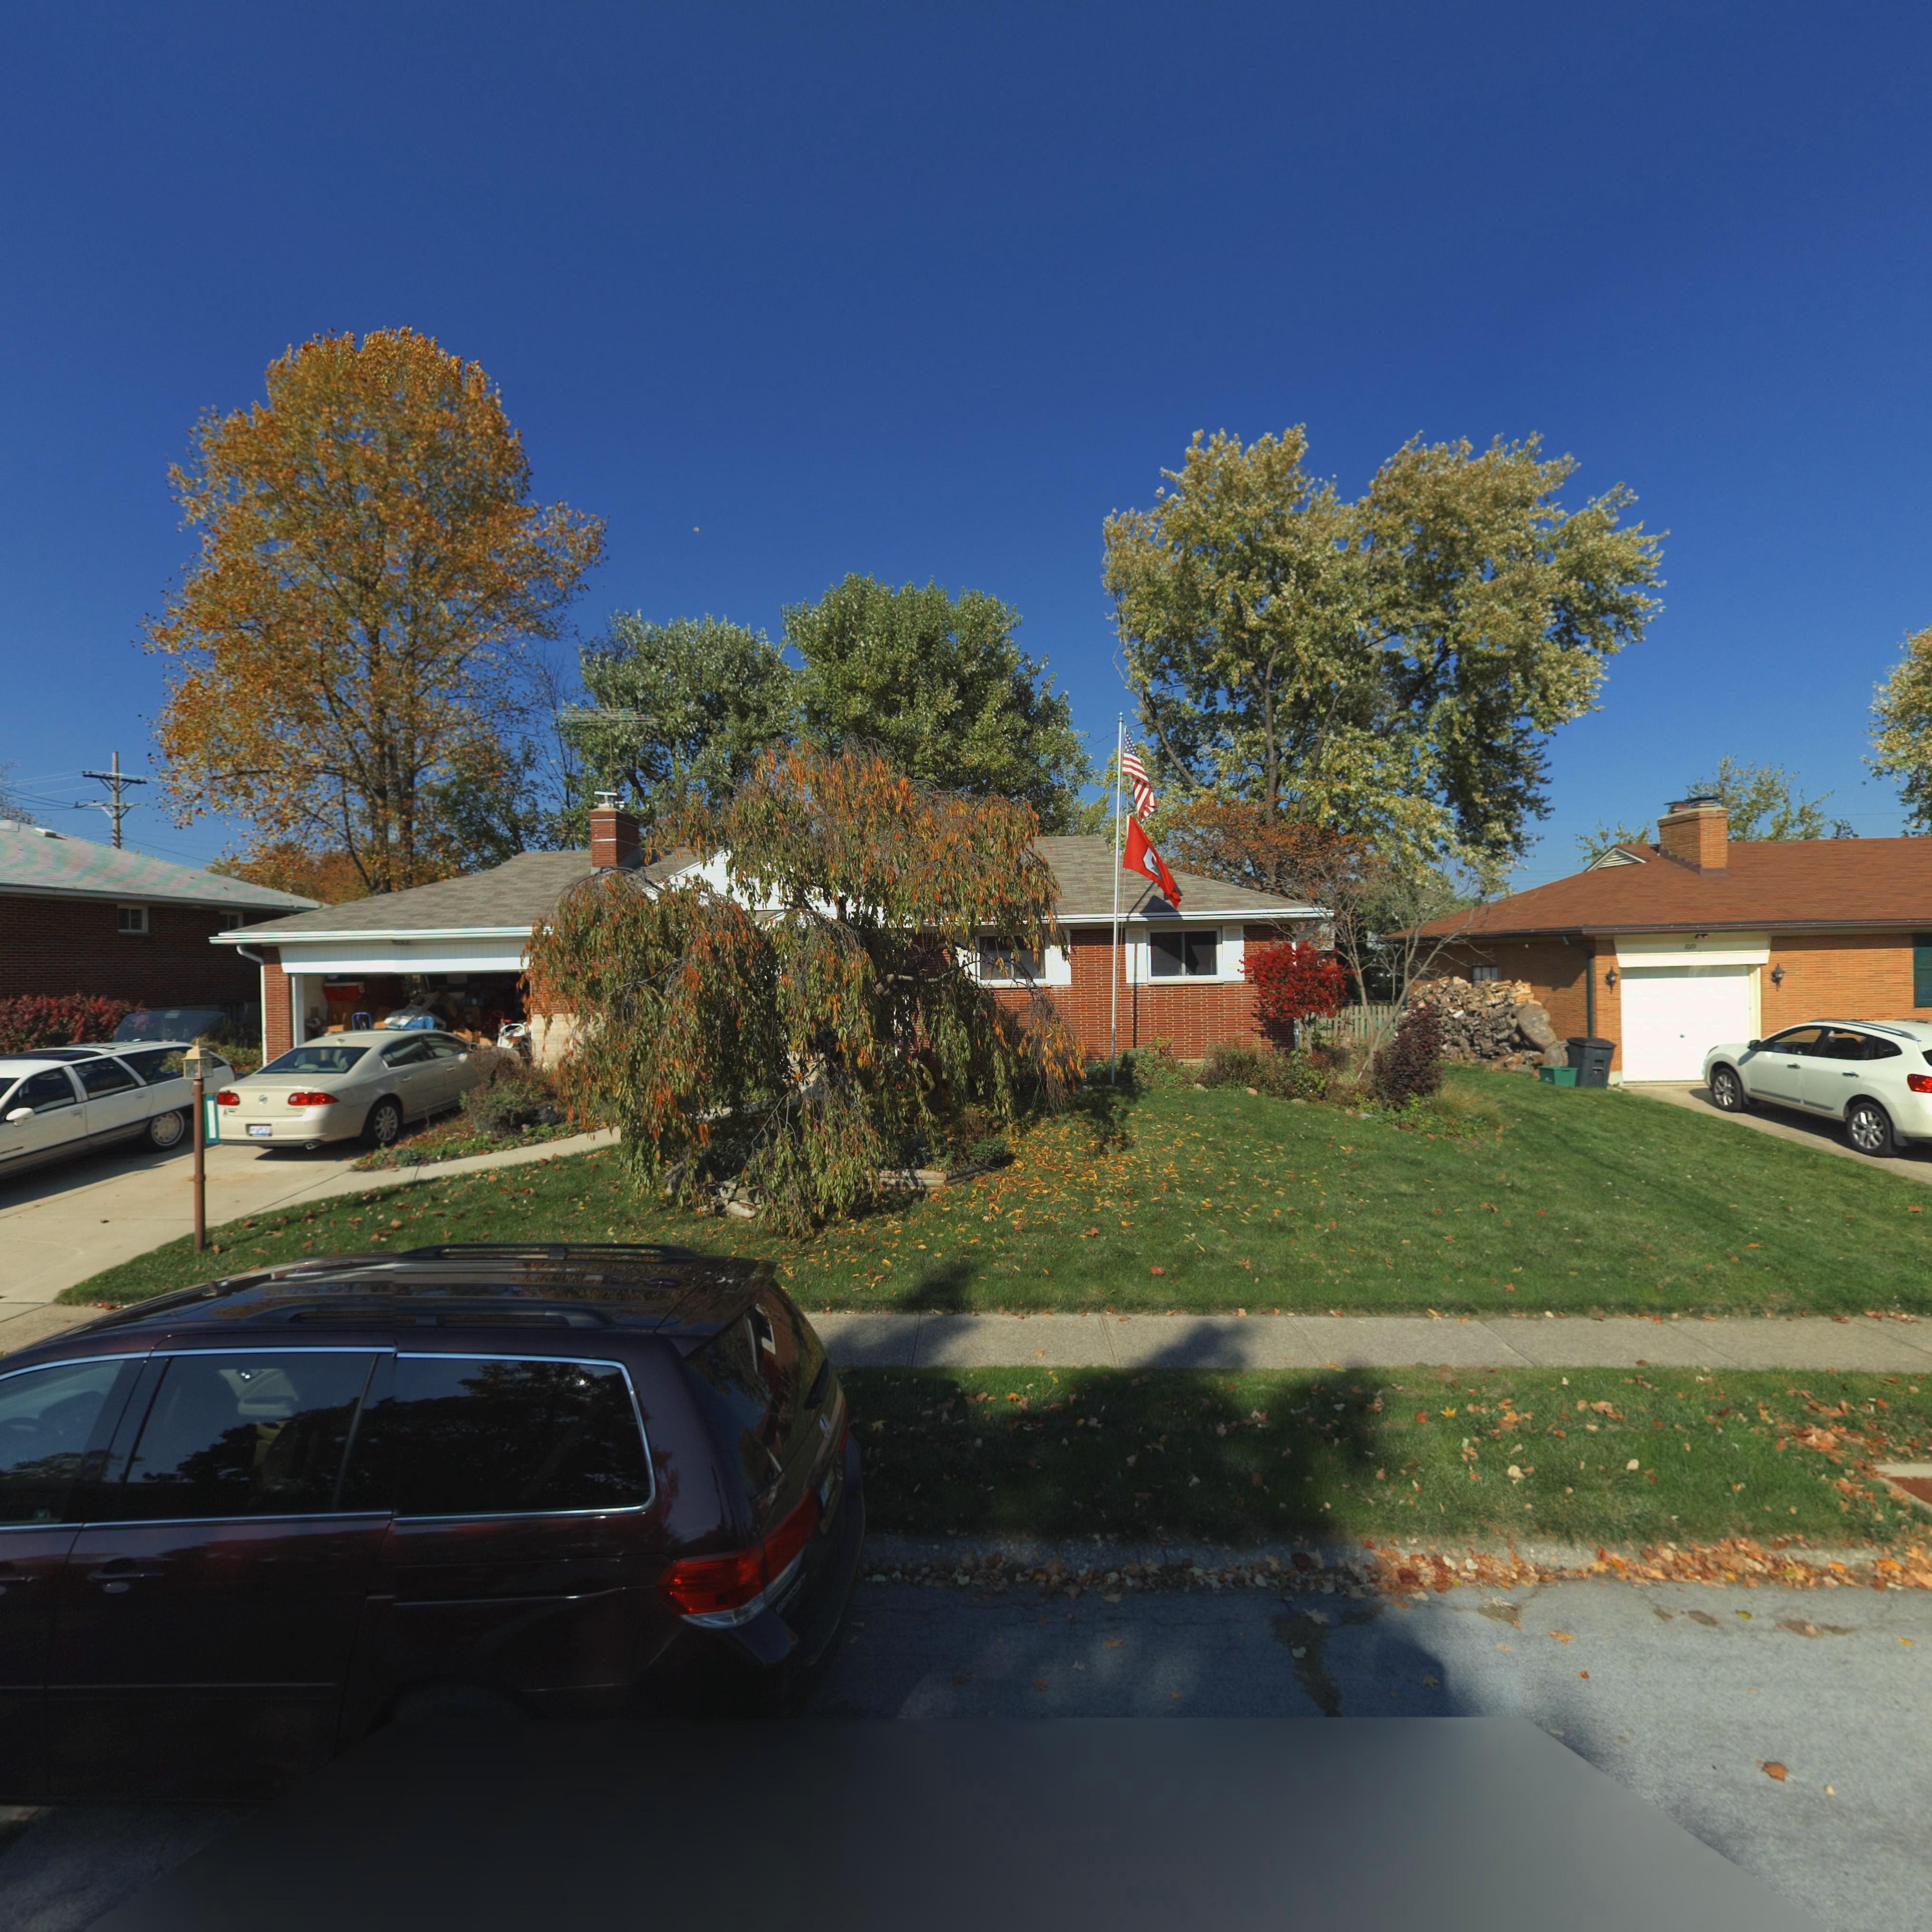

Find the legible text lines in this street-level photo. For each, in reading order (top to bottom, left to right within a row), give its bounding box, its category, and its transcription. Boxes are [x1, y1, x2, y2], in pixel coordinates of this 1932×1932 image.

[1684, 943, 1696, 949] StreetNumber: 1019